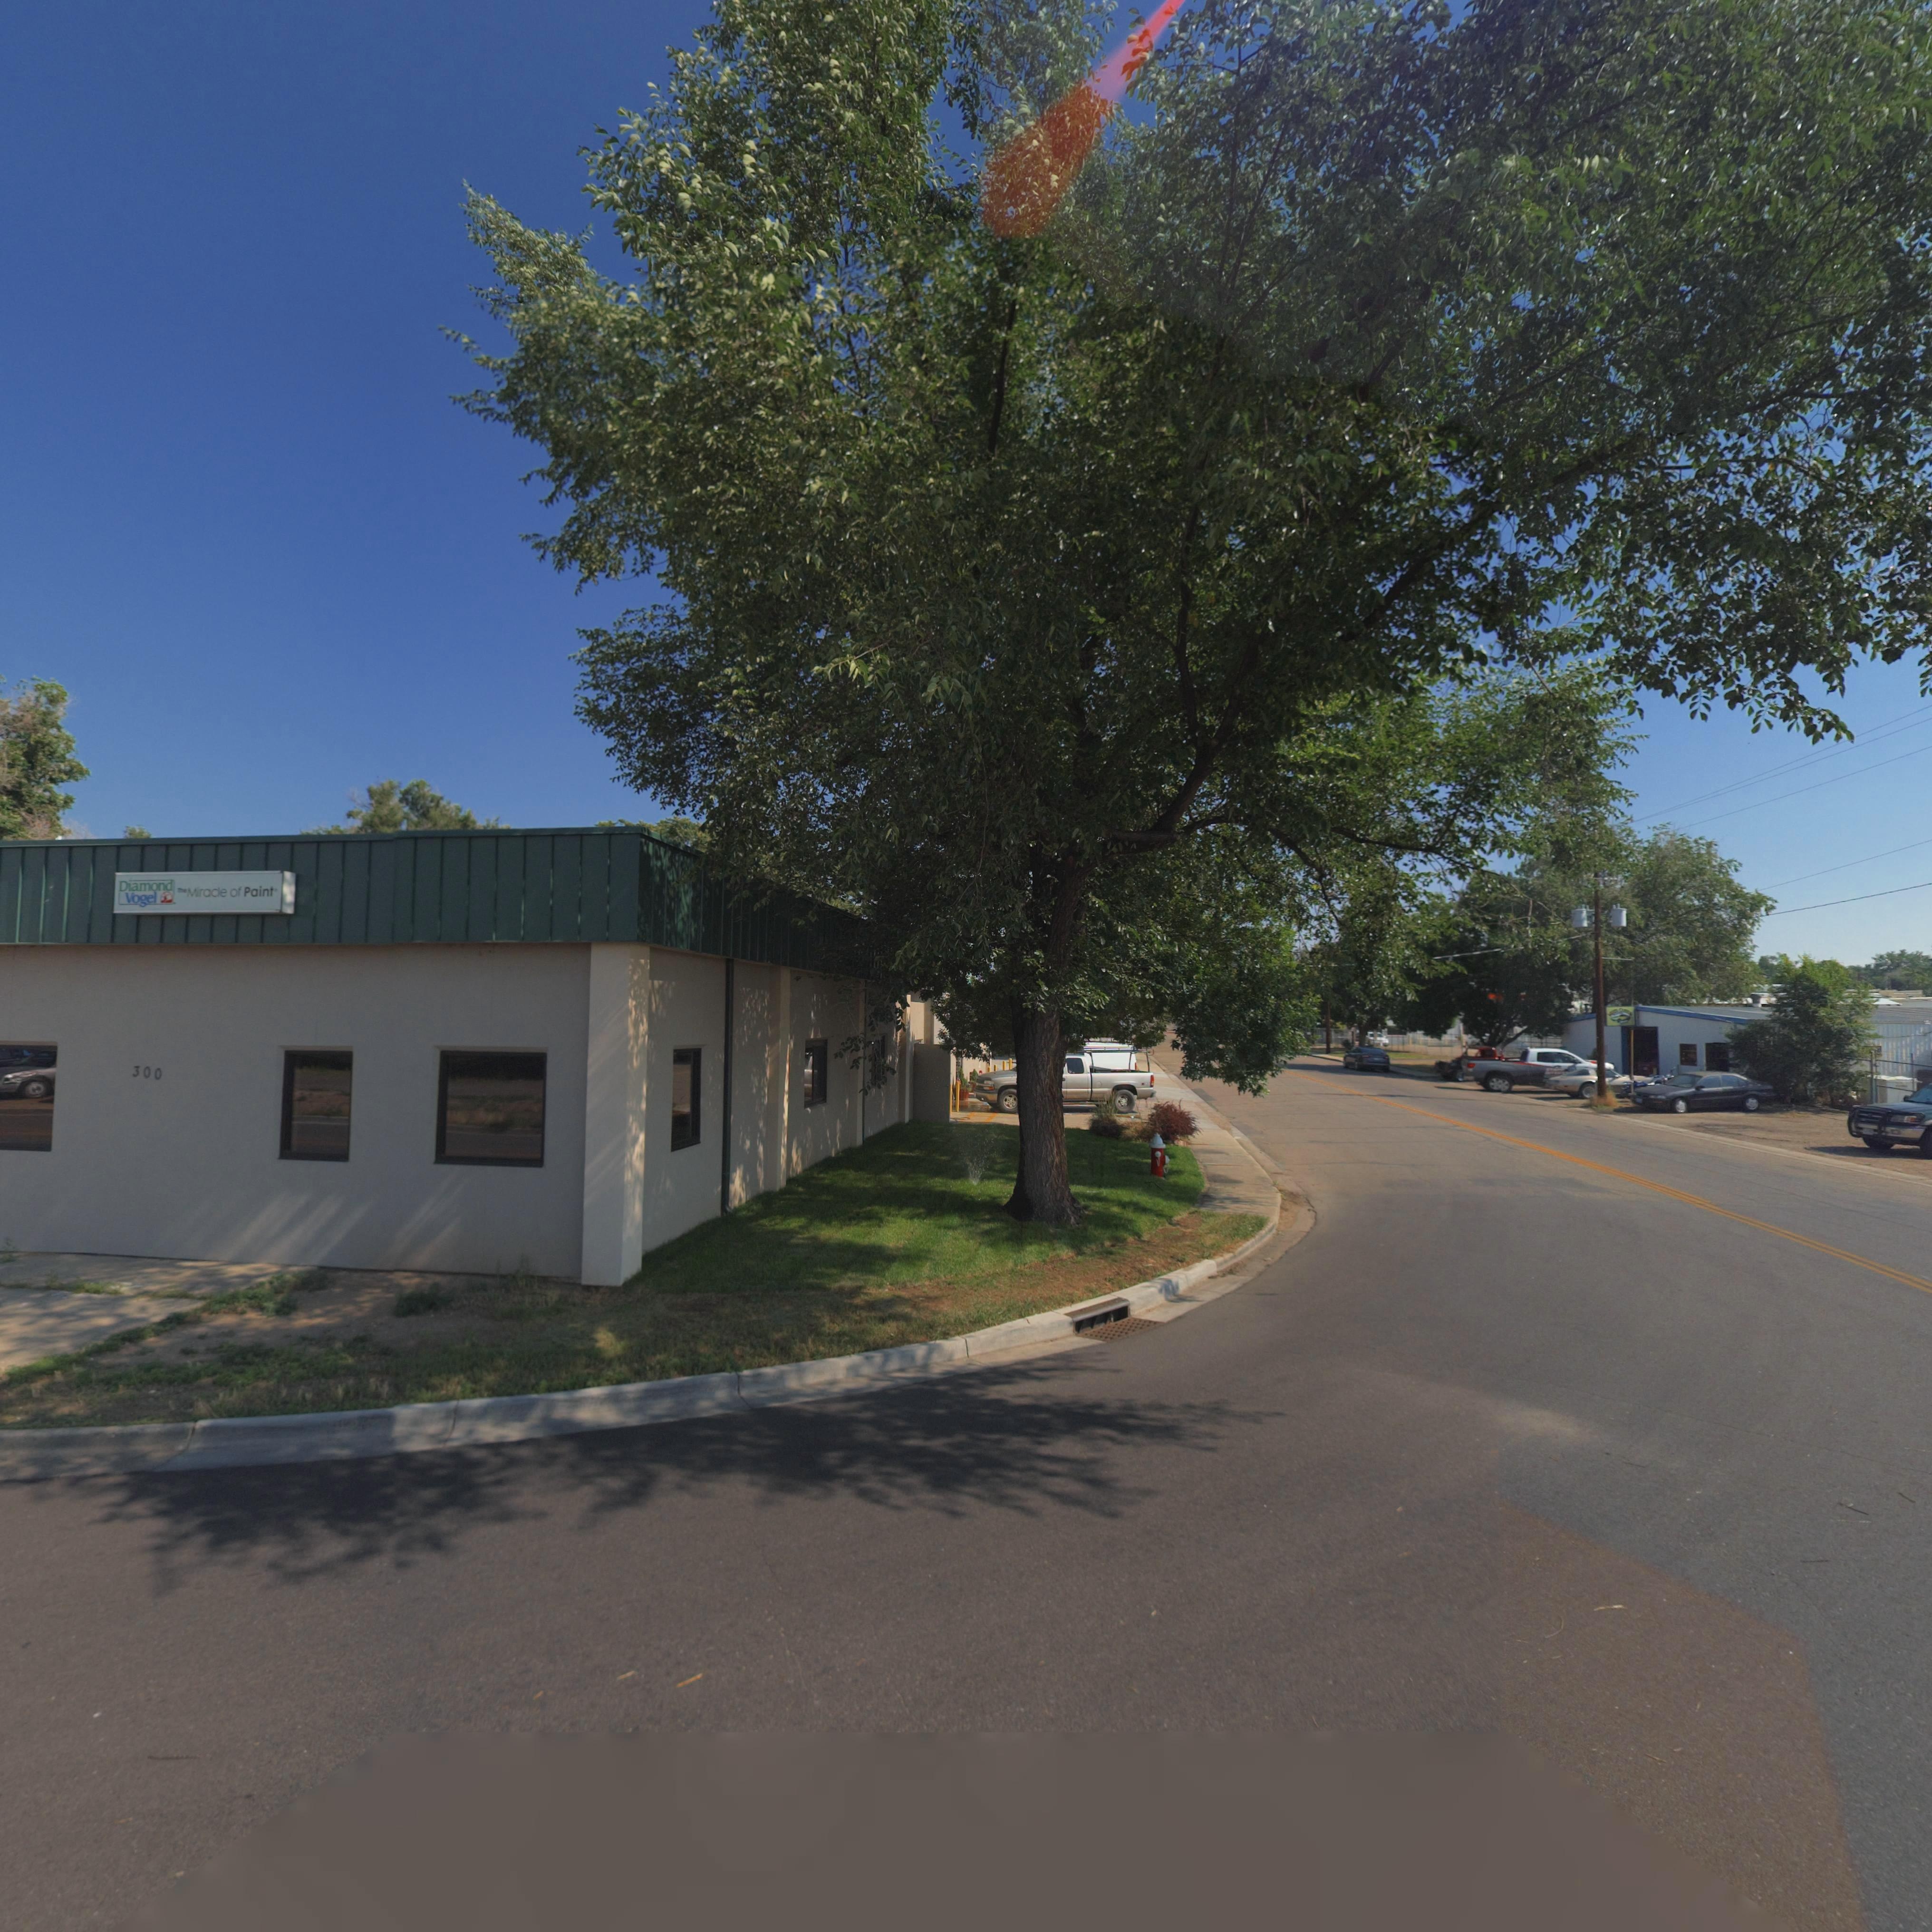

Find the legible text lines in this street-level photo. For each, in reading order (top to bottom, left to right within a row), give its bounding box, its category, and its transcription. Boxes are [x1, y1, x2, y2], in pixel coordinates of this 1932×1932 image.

[119, 878, 173, 891] BusinessName: Diamond
[124, 891, 156, 908] BusinessName: Vogel
[132, 1064, 163, 1082] StreetNumber: 300